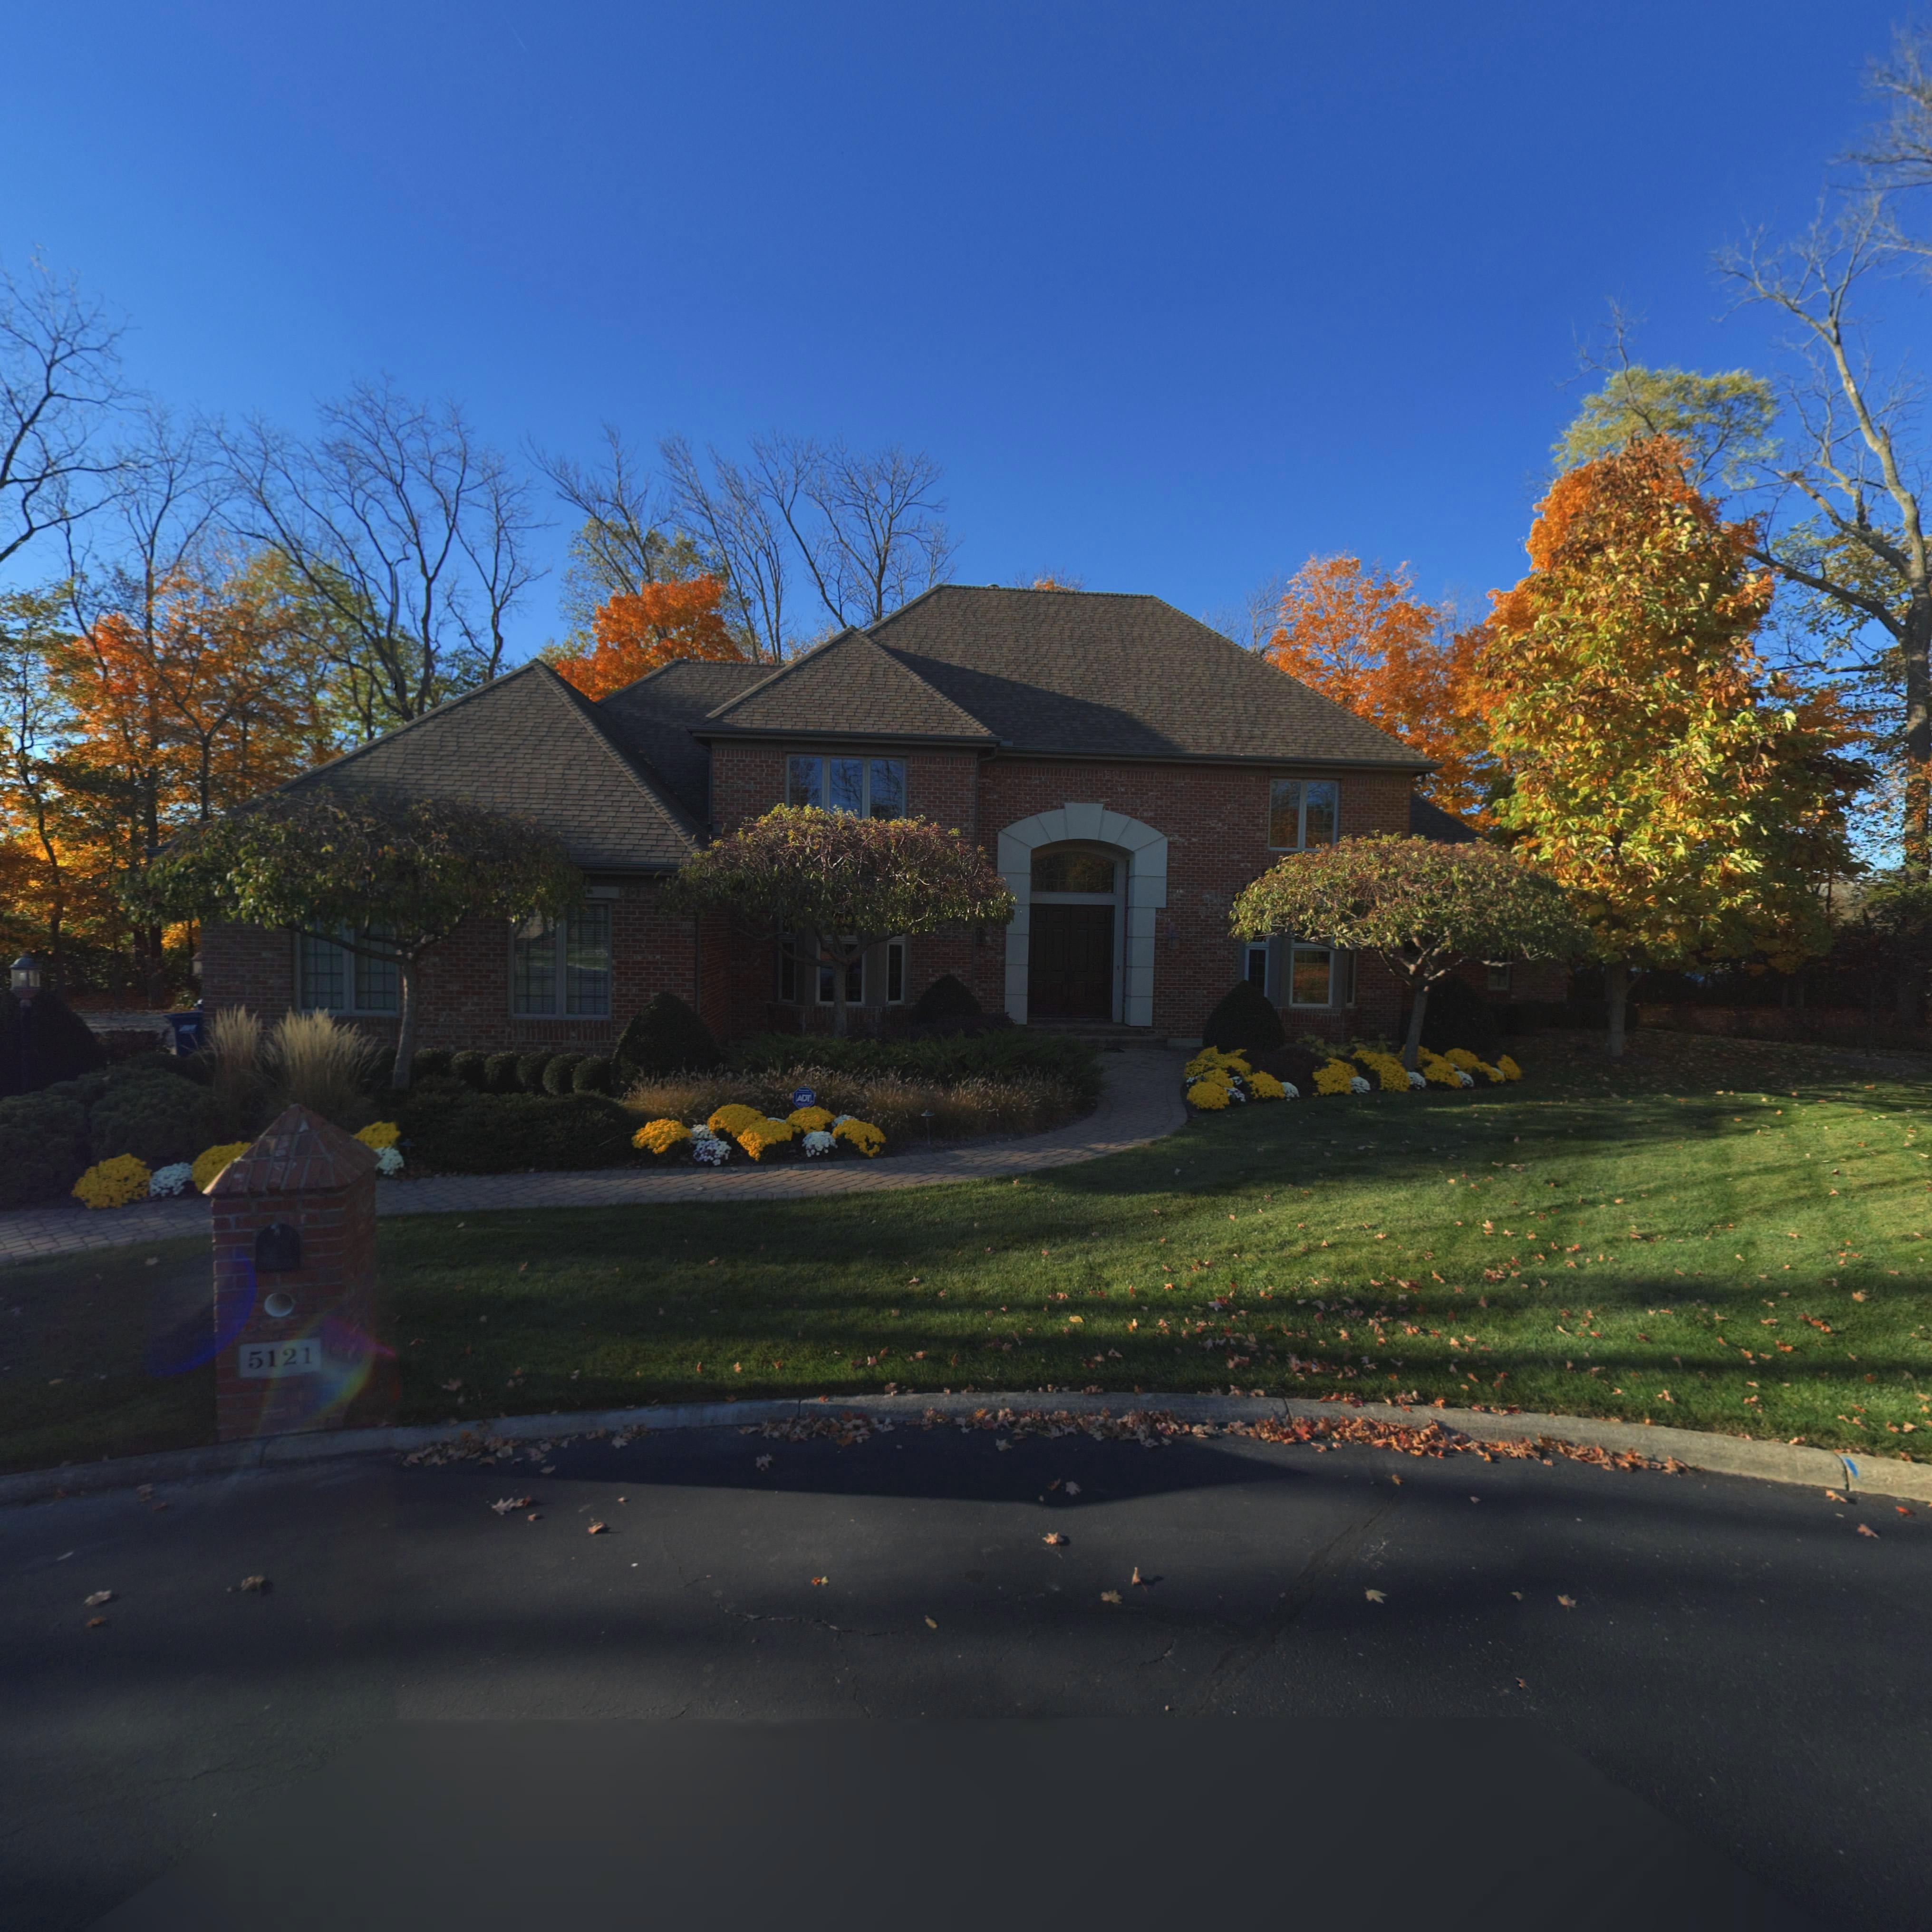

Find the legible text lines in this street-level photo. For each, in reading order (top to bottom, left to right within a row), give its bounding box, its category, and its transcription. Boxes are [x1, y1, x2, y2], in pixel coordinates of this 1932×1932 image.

[246, 1342, 317, 1372] StreetNumber: 5121